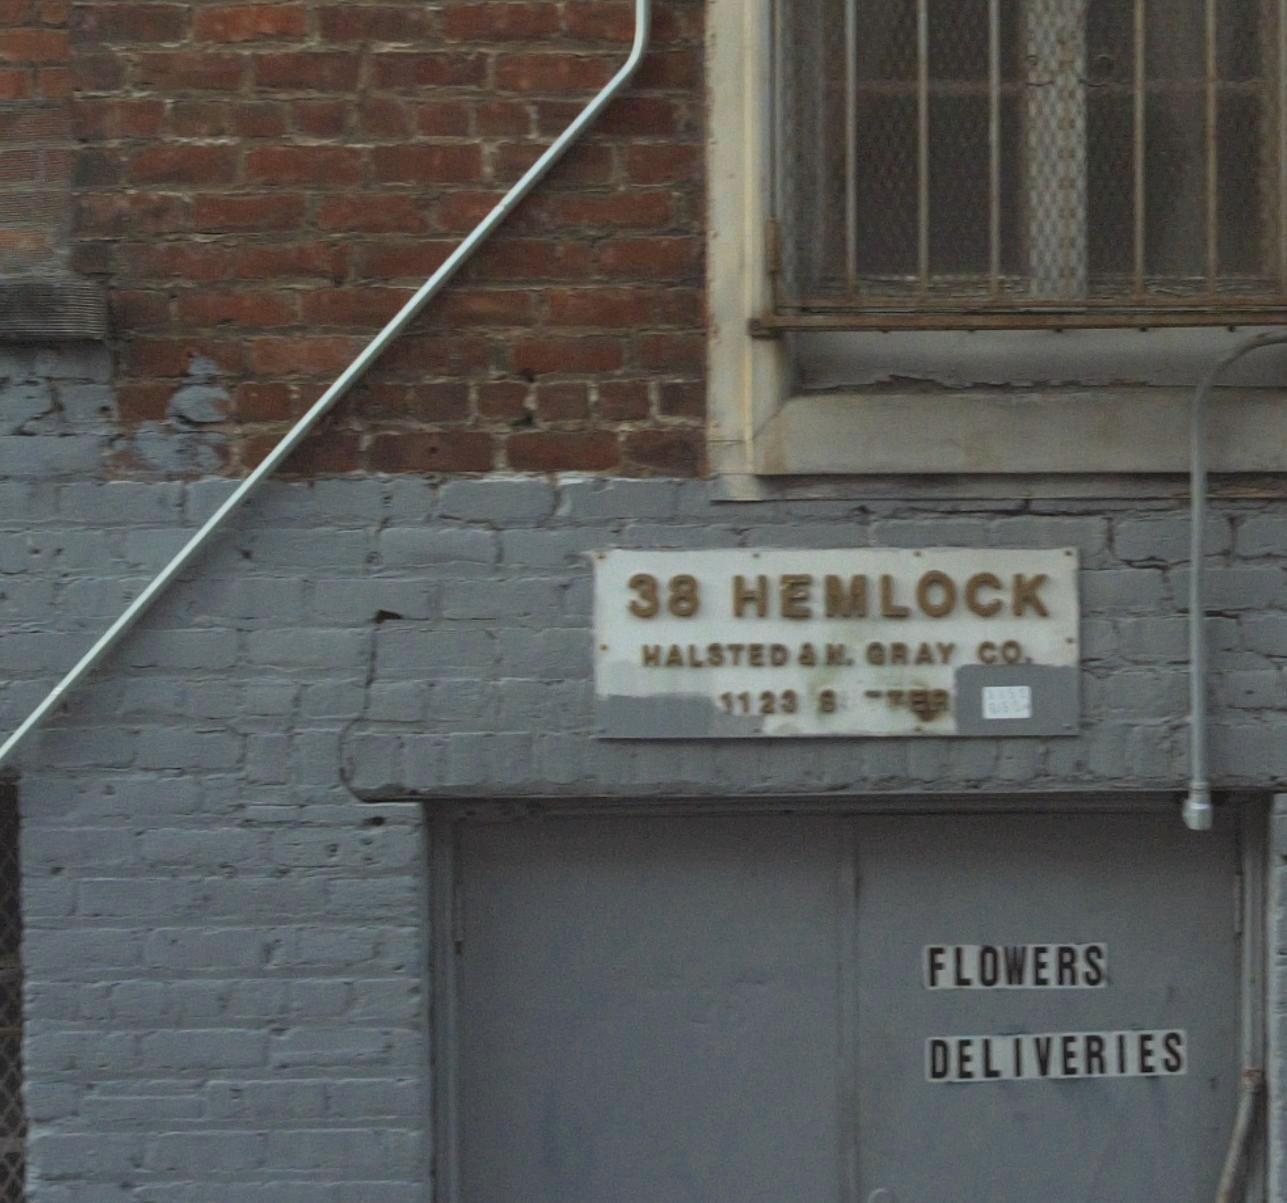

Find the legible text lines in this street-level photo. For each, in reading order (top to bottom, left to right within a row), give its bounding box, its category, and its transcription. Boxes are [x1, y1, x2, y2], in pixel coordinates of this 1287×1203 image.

[626, 571, 701, 621] None: 38
[730, 568, 1050, 620] None: HEMLOCK
[638, 638, 1035, 669] BusinessName: HALSTED & M. GRAY CO.
[719, 688, 799, 715] StreetNumber: 1123
[818, 687, 951, 714] StreetName: S**TER
[926, 943, 1107, 988] None: FLOWERS
[928, 1031, 1182, 1081] None: DELIVERIES